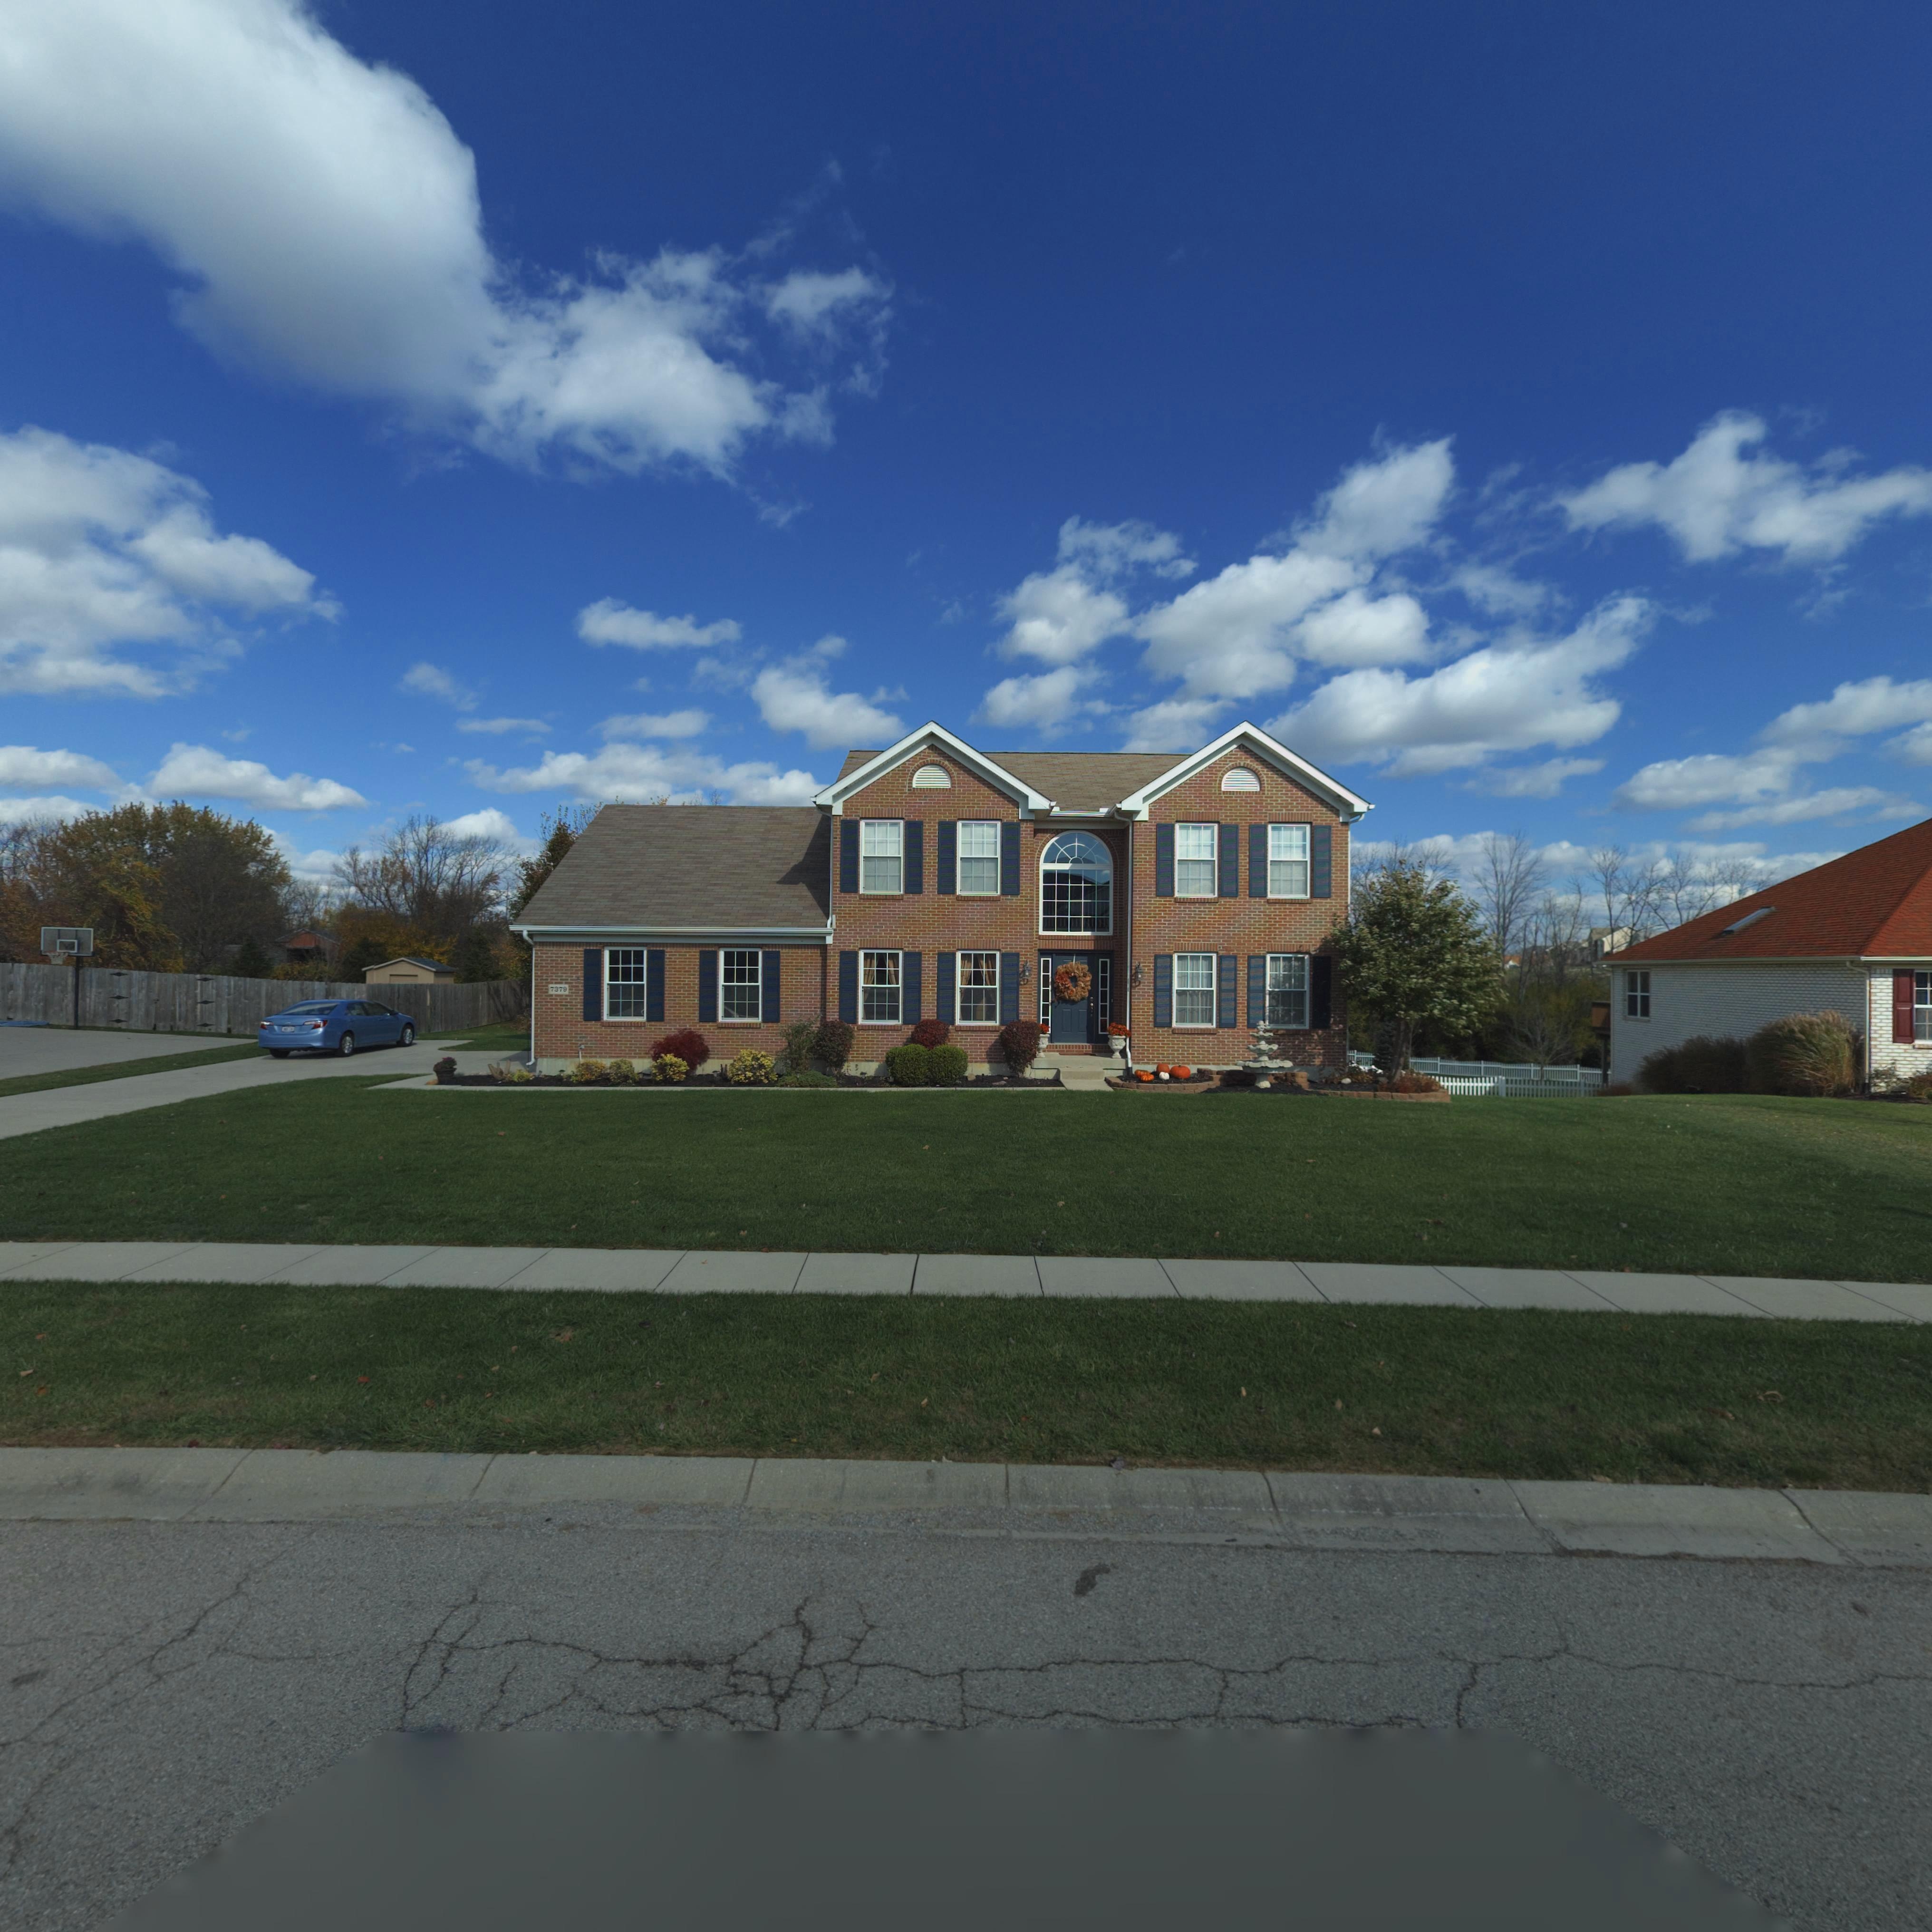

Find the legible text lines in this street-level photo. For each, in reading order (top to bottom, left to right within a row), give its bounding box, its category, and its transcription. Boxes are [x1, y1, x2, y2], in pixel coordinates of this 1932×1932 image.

[550, 985, 568, 993] StreetNumber: 7379